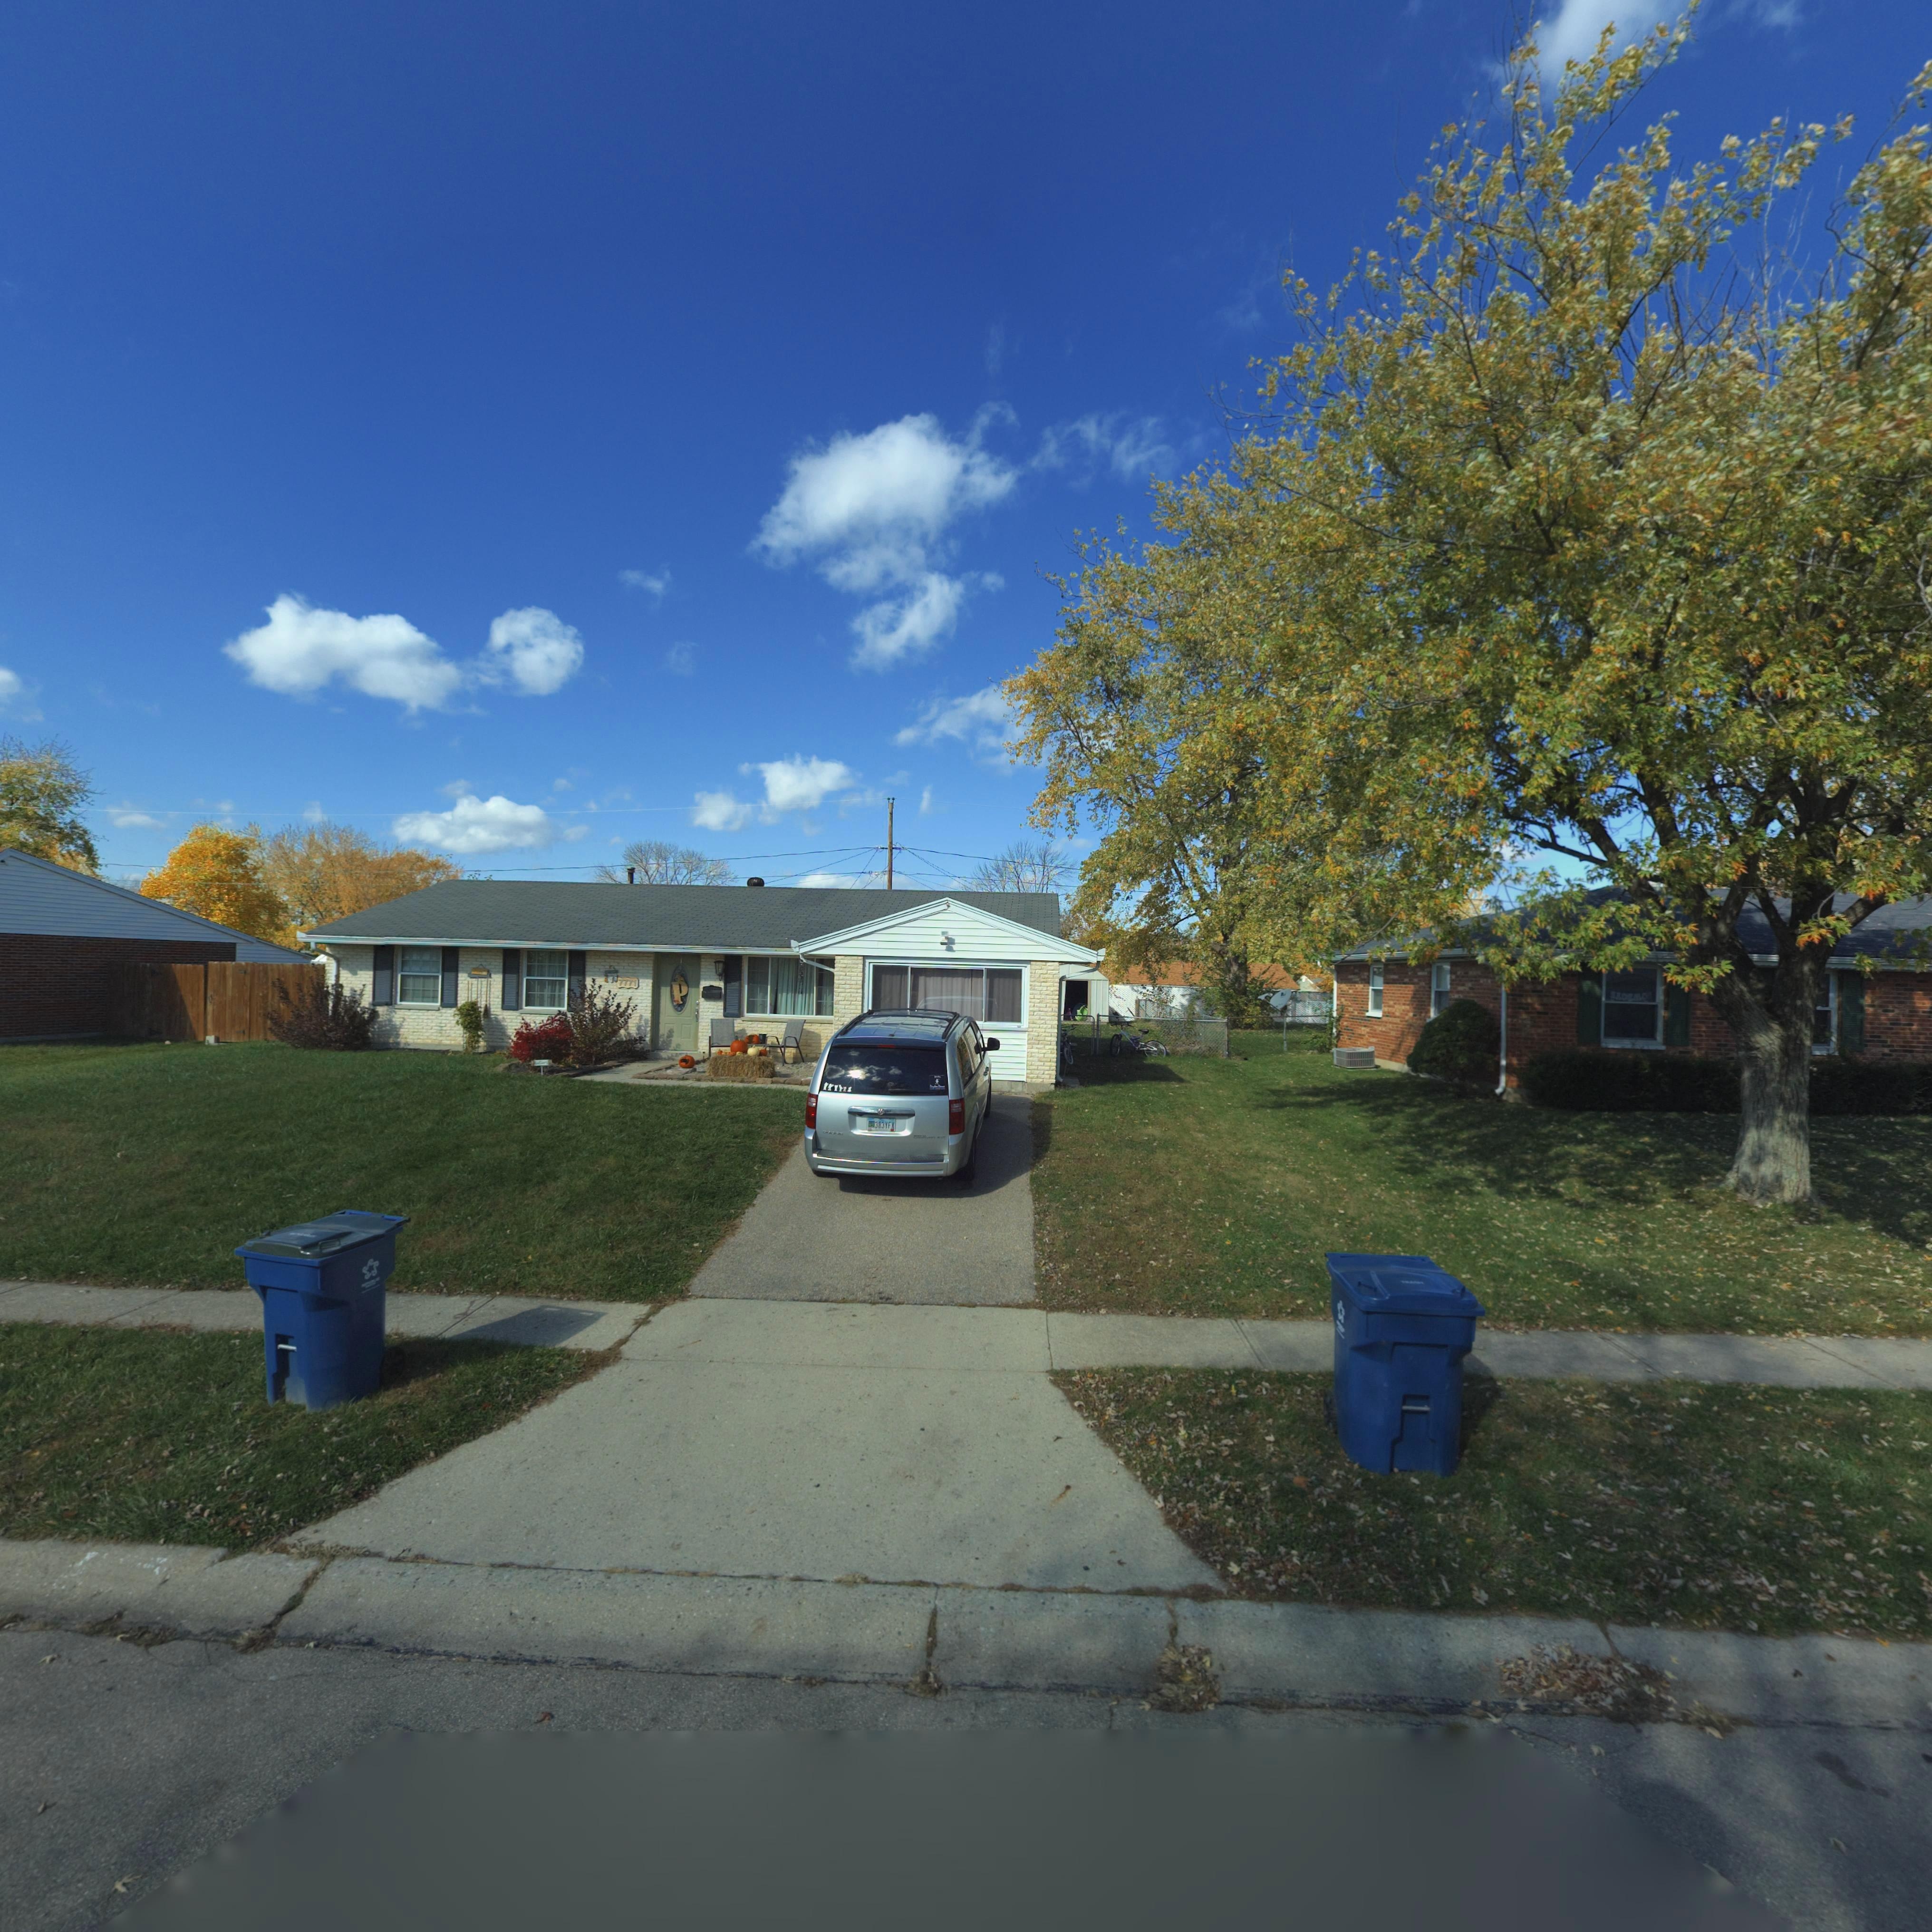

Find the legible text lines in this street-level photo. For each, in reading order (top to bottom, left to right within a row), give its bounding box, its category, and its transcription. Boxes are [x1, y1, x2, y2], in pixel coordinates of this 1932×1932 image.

[618, 979, 638, 987] StreetNumber: 7771